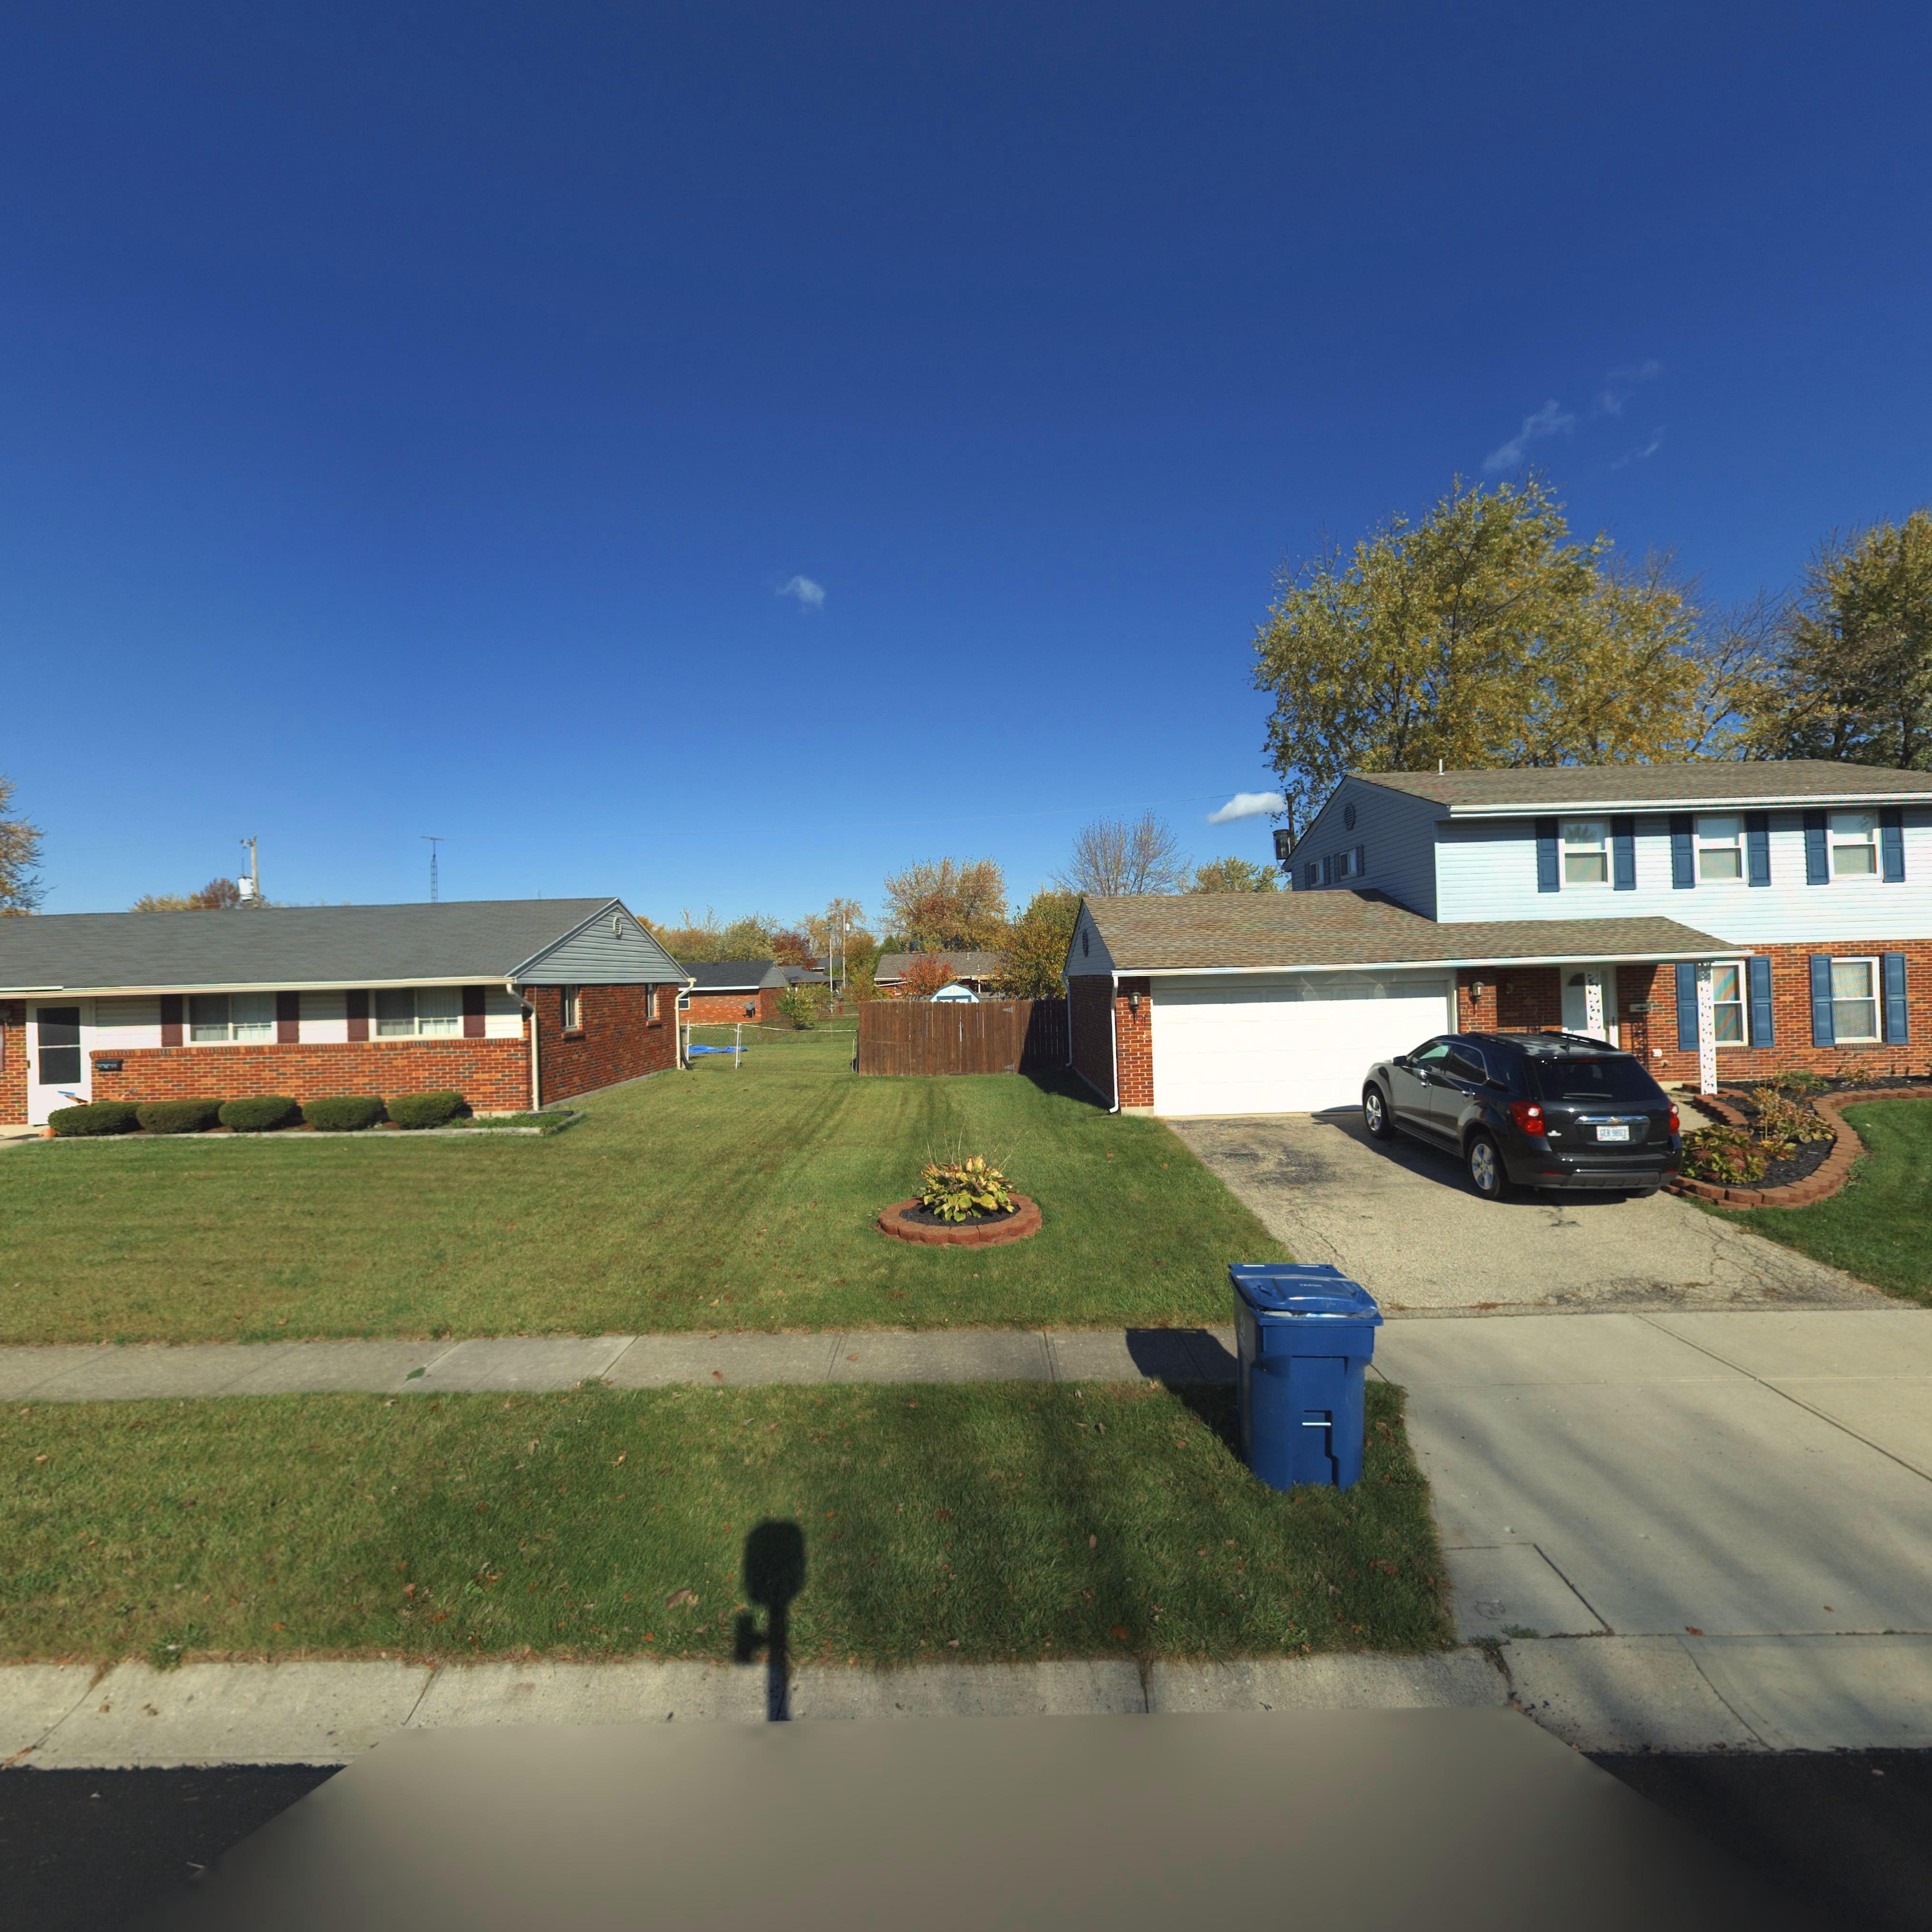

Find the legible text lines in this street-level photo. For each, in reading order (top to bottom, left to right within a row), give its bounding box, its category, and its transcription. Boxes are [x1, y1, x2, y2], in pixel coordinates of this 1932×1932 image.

[1520, 986, 1546, 1025] StreetNumber: 7221